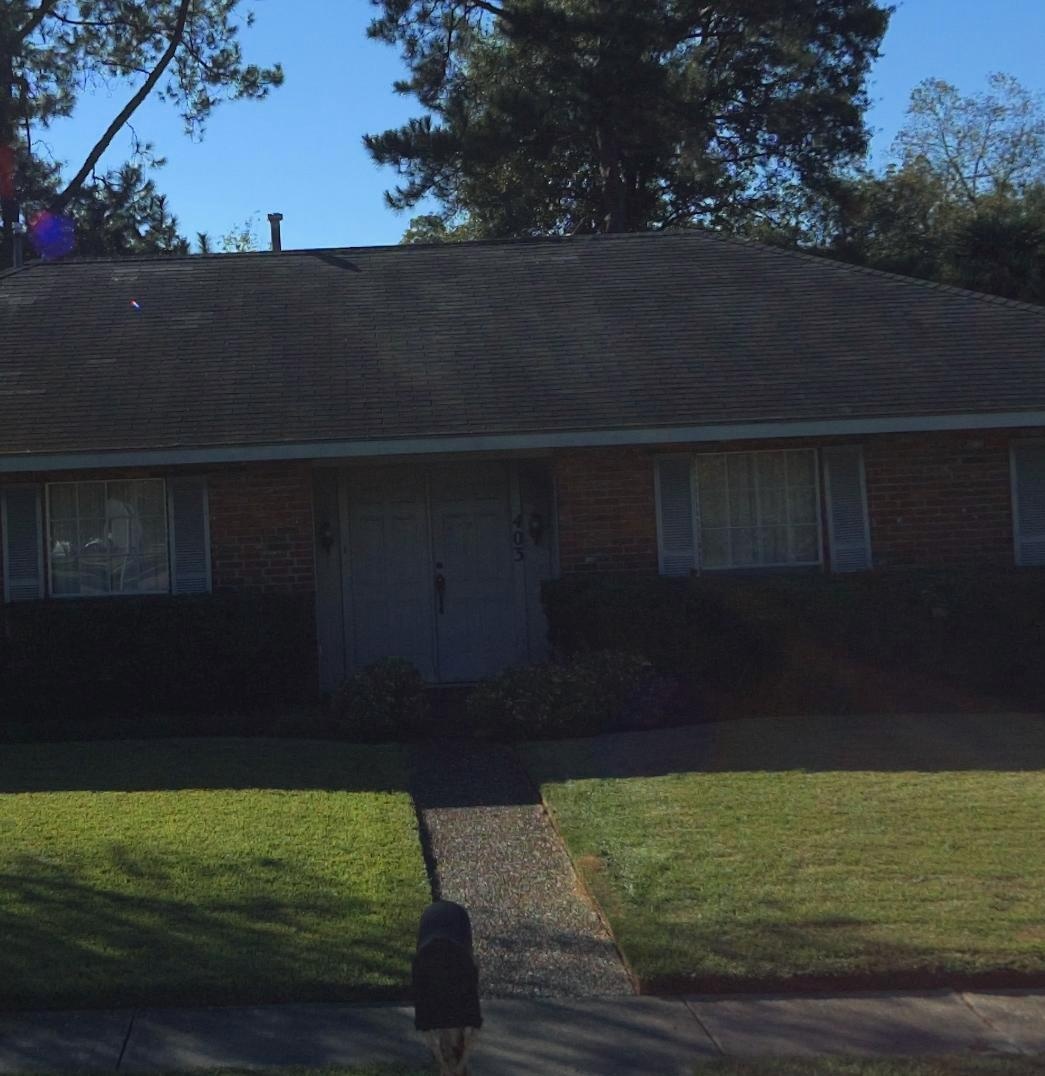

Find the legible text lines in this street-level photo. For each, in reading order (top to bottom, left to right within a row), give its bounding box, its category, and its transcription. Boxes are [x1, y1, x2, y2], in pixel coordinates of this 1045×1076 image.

[510, 511, 527, 564] StreetNumber: 403